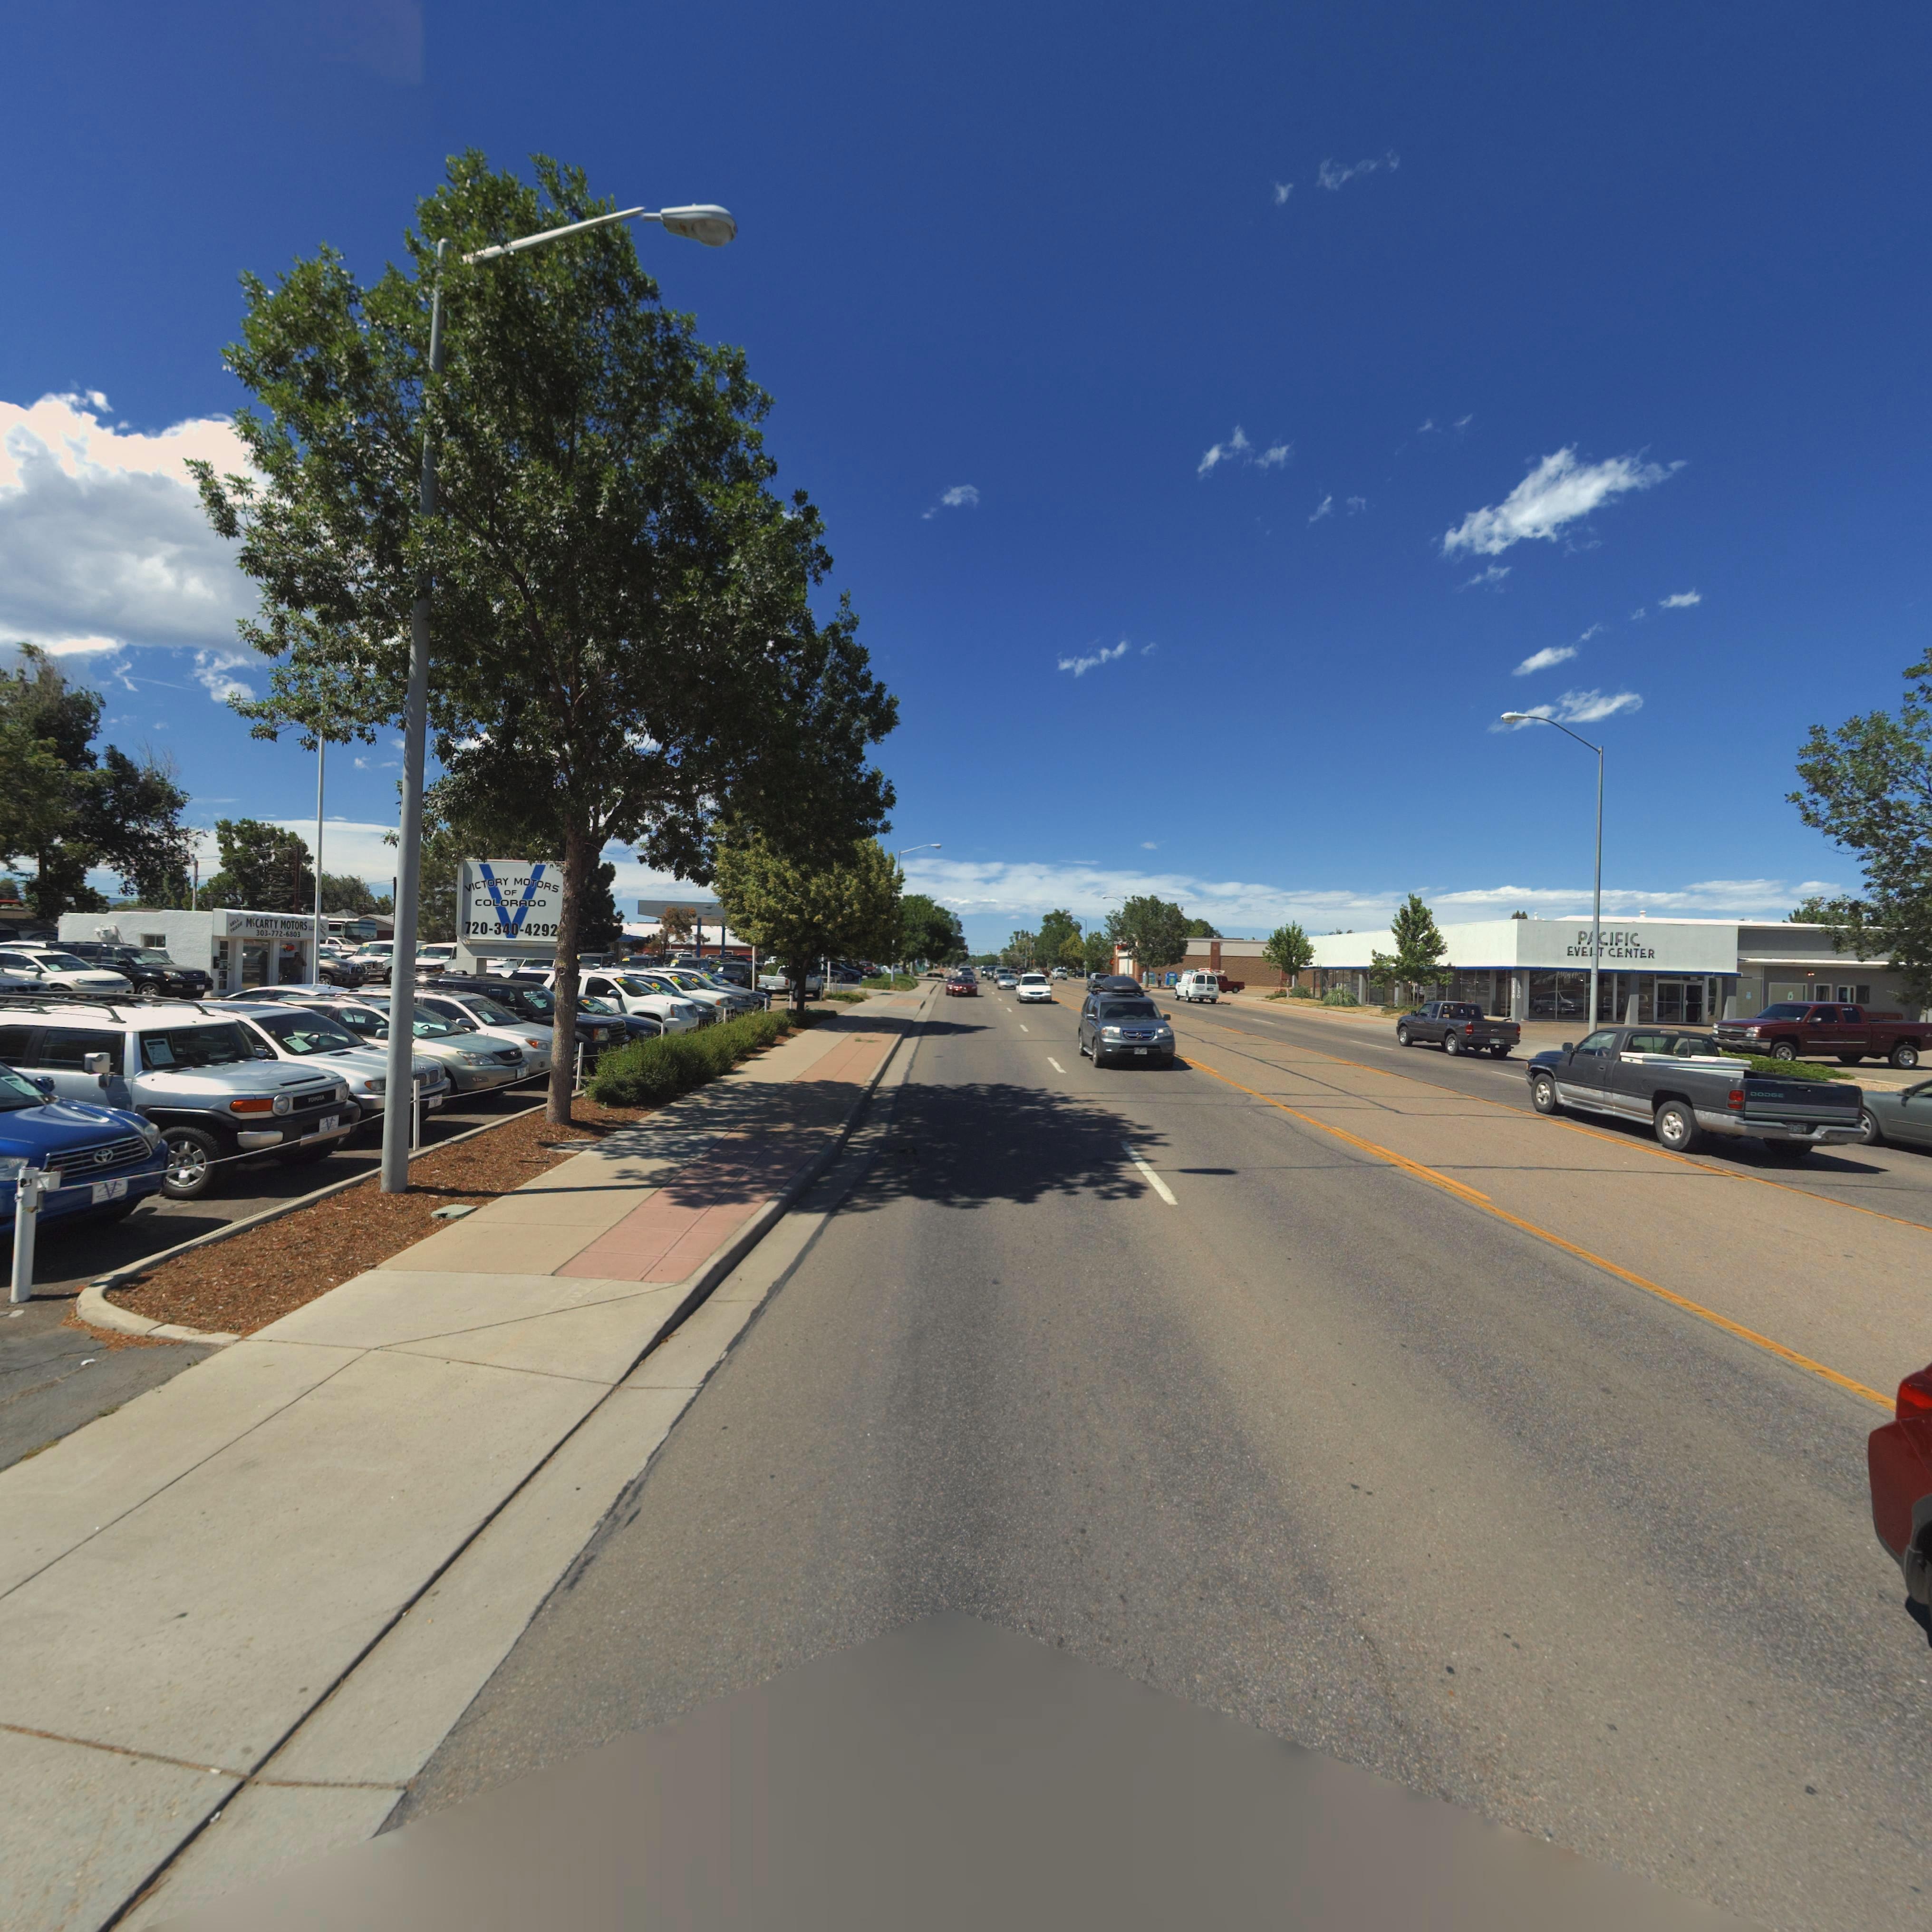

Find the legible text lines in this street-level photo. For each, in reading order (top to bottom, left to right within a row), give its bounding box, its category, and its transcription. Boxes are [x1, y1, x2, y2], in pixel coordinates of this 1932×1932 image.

[463, 877, 560, 893] BusinessName: VICTORY MOTORS
[503, 889, 518, 896] BusinessName: OF
[474, 898, 546, 907] BusinessName: COLORADO
[246, 917, 308, 930] BusinessName: McCARTY MOTORS
[309, 926, 314, 930] BusinessName: LL*
[1577, 930, 1642, 947] BusinessName: PACIFIC
[1567, 946, 1655, 959] BusinessName: EVENT CENTER
[1511, 979, 1515, 999] StreetNumber: 1**0
[1516, 980, 1521, 999] StreetNumber: 13*0